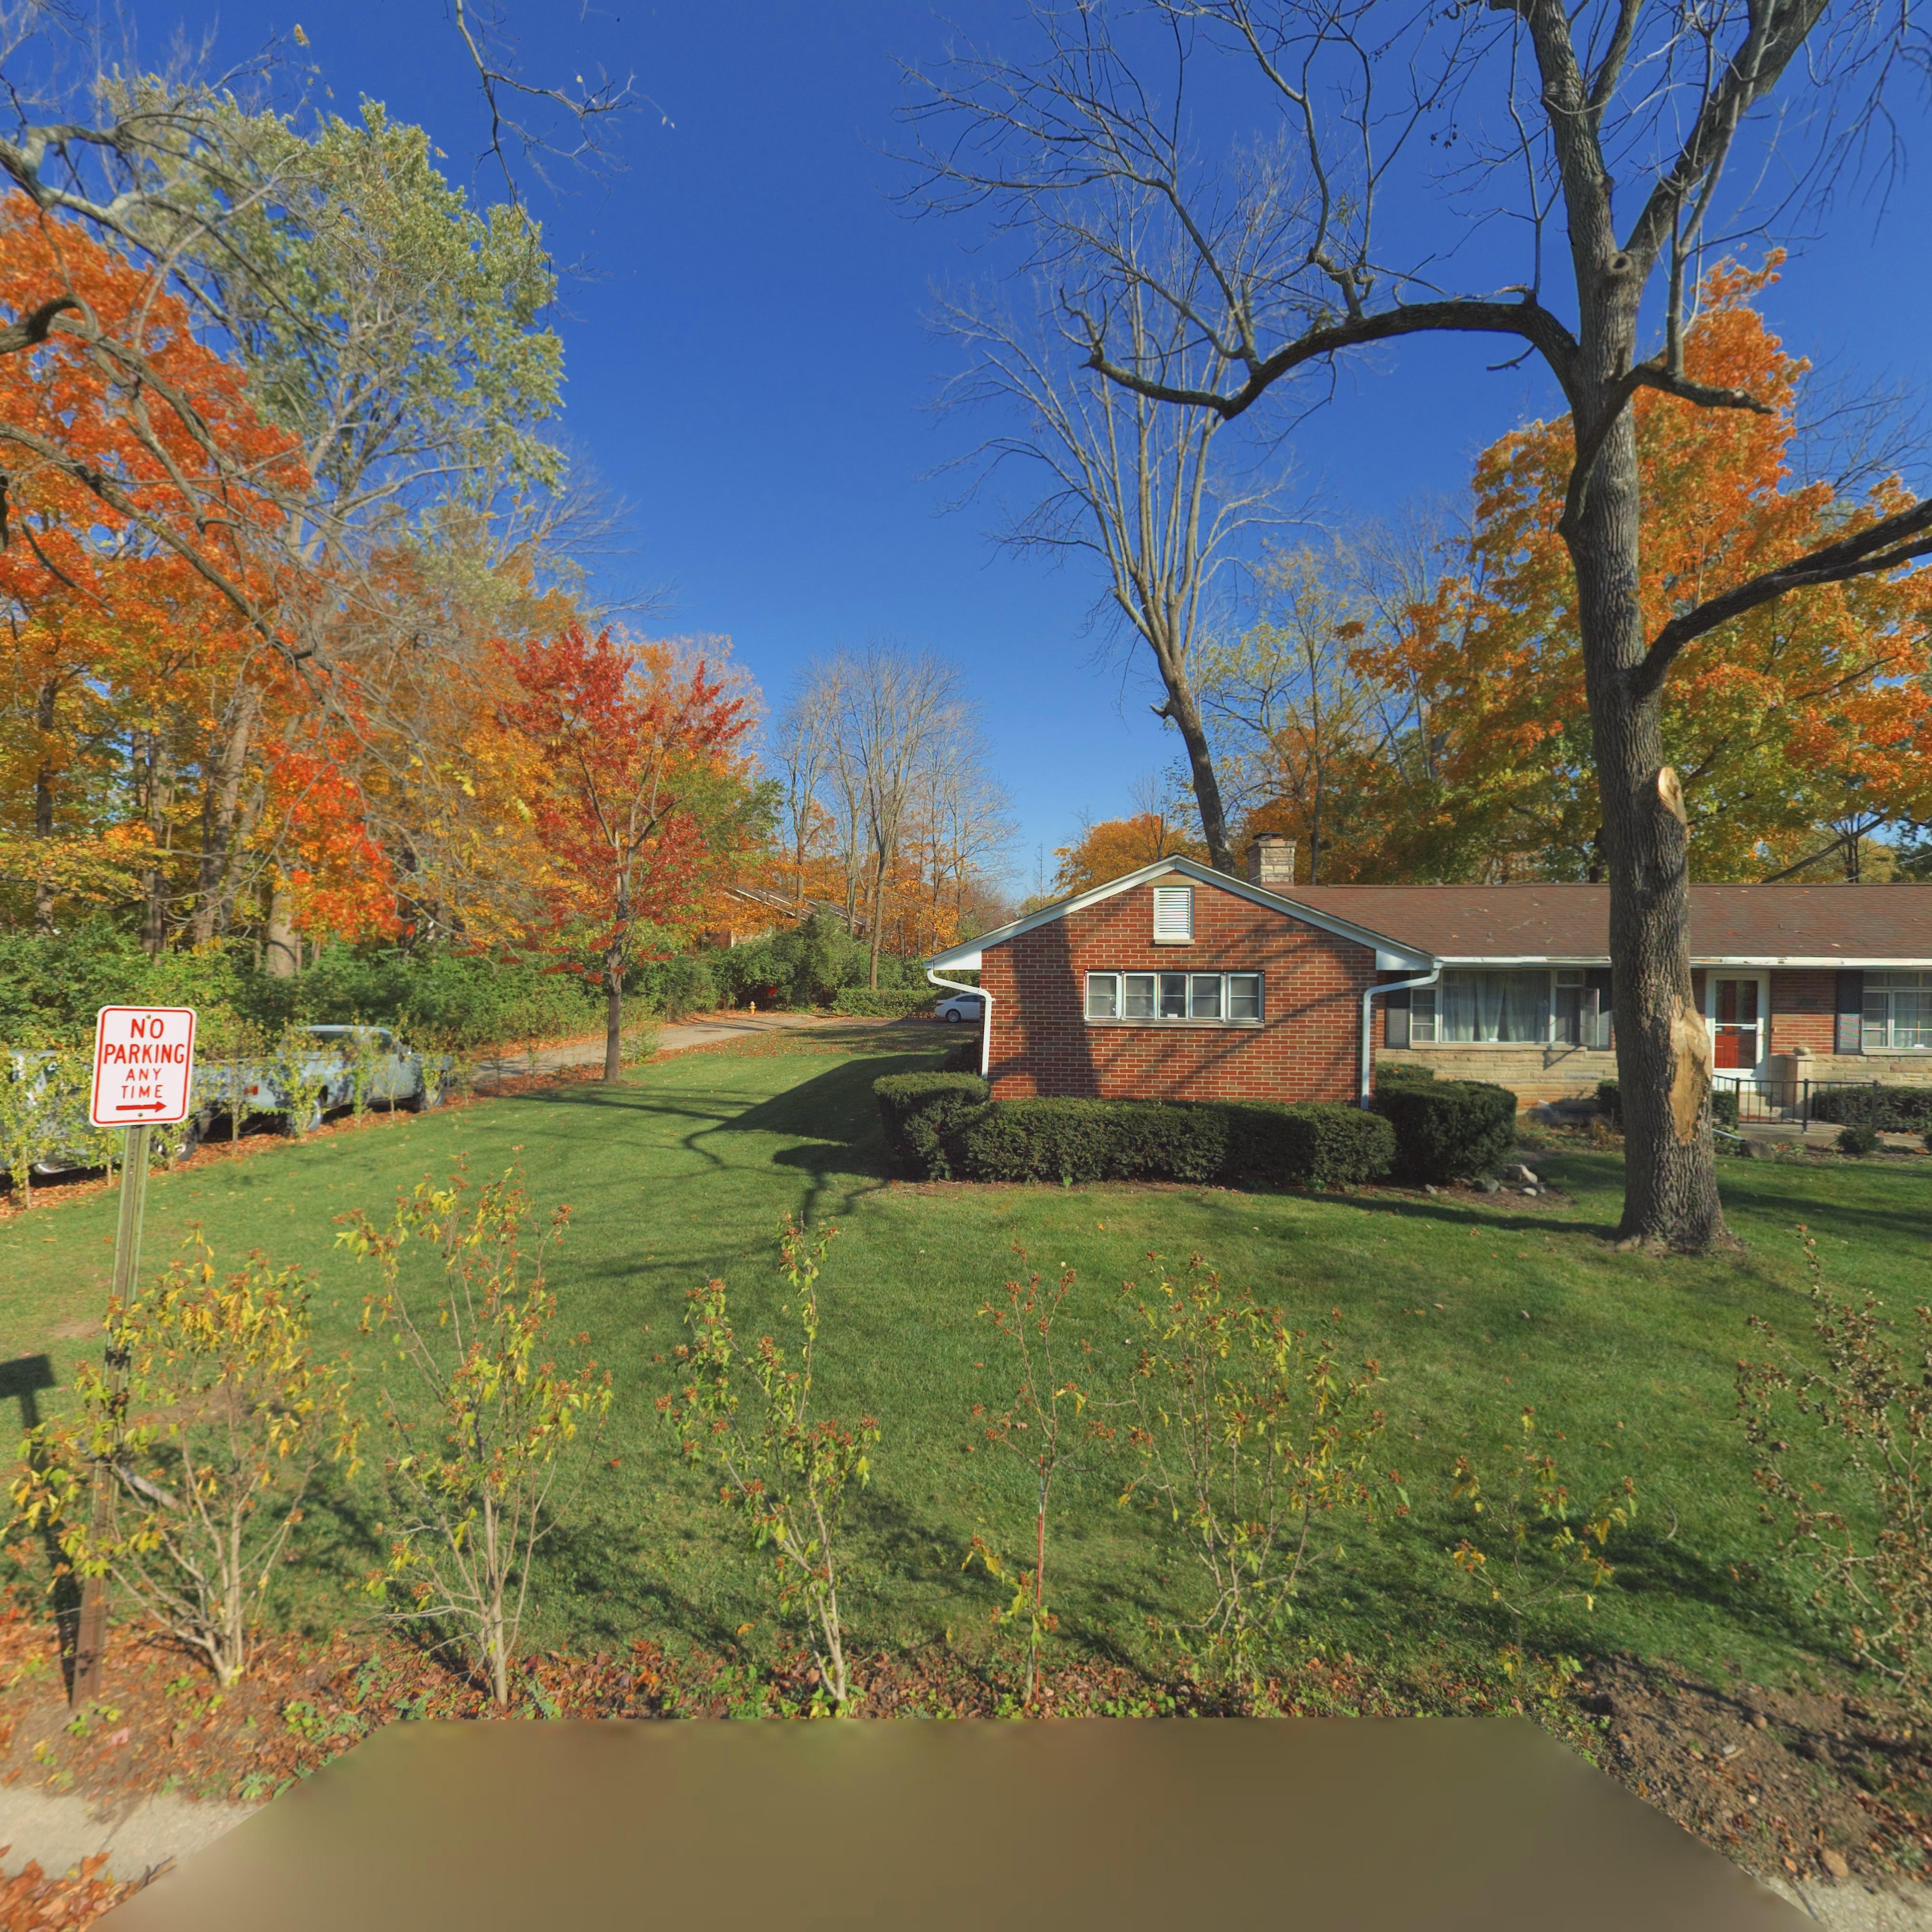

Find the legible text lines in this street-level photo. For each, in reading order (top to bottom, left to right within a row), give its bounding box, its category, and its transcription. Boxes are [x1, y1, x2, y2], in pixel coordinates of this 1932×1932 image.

[130, 1018, 165, 1039] None: NO
[103, 1043, 185, 1064] None: PARKING
[125, 1067, 162, 1082] None: ANY
[120, 1084, 164, 1099] None: TIME